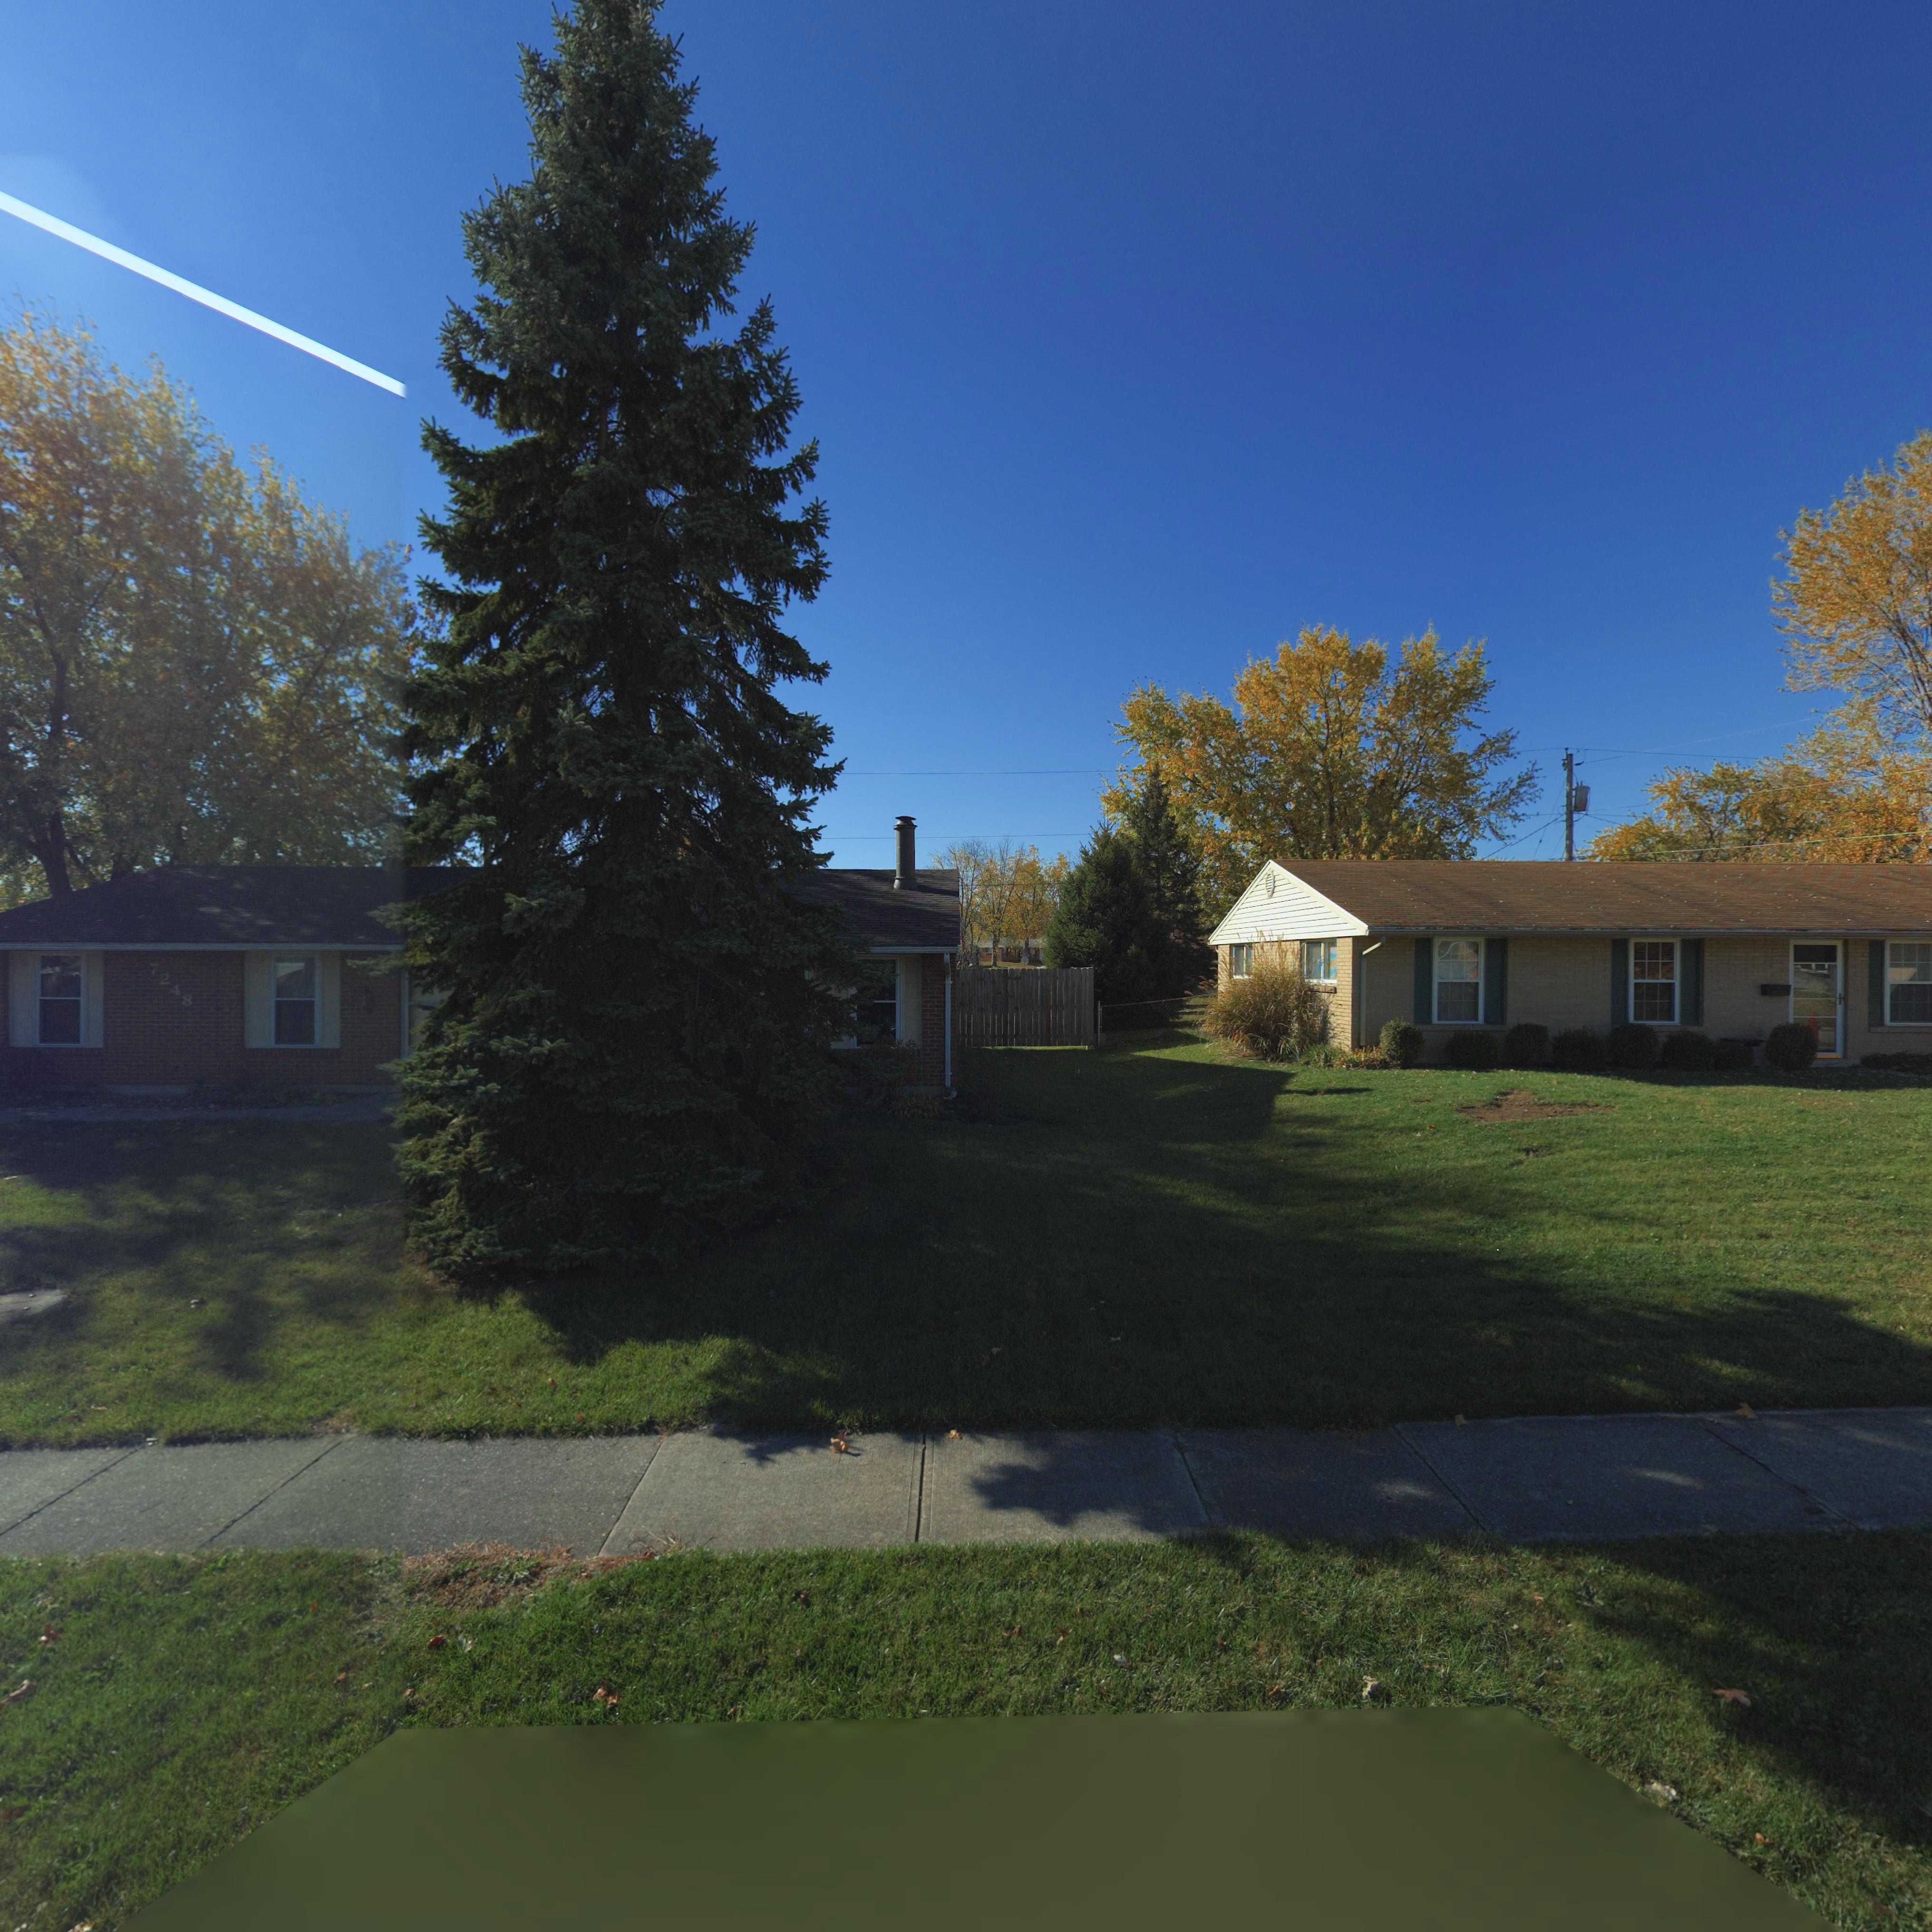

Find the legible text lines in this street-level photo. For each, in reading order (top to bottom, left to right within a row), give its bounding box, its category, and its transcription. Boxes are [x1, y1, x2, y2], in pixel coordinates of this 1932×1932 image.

[146, 962, 194, 1009] StreetNumber: 7248